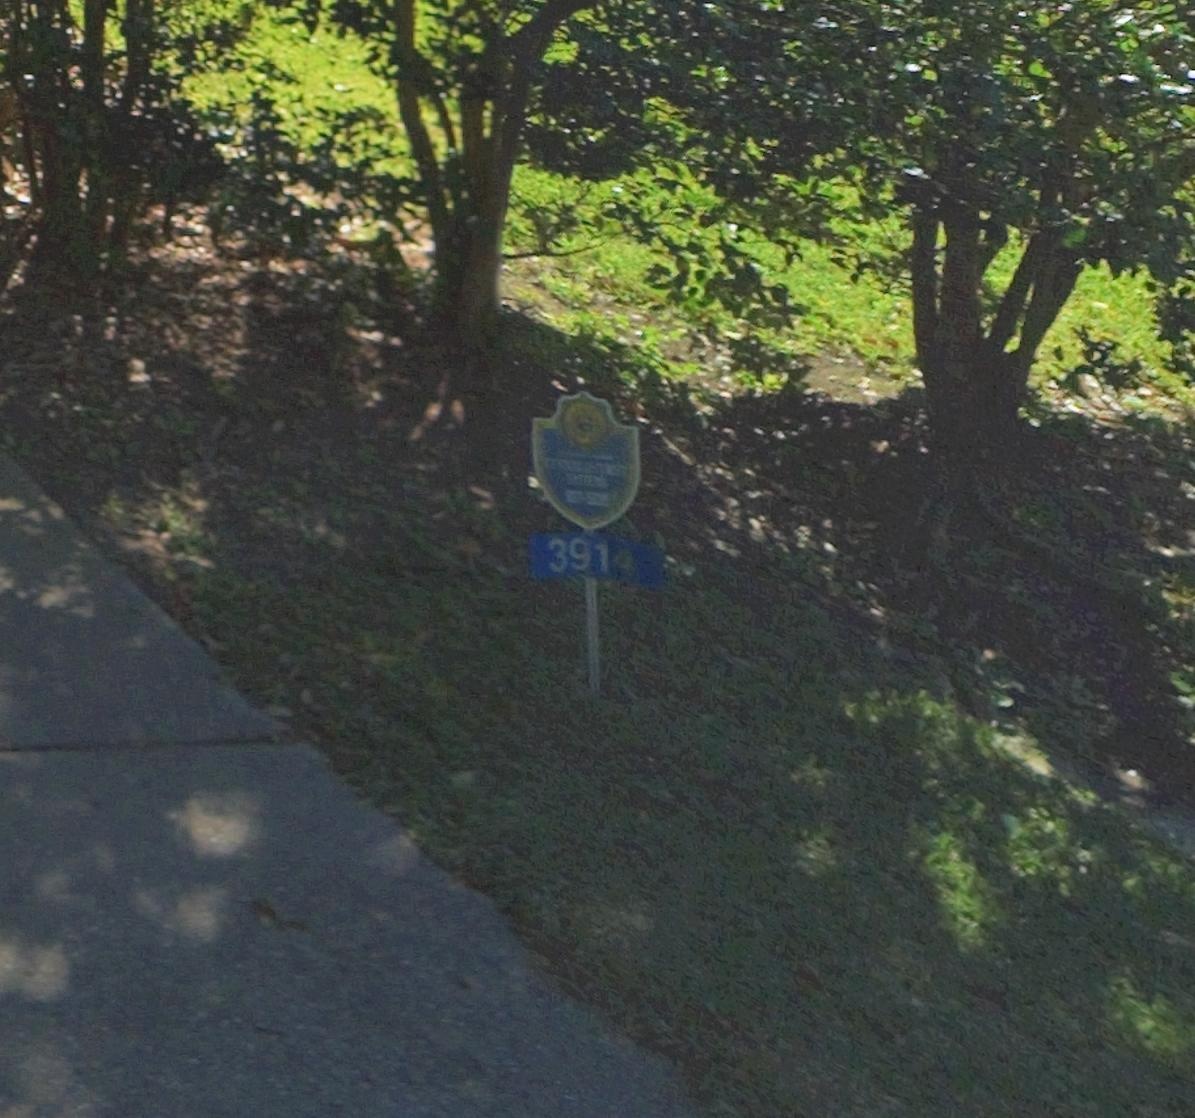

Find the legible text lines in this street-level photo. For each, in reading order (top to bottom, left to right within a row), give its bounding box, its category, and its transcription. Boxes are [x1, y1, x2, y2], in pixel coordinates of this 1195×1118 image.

[545, 532, 640, 583] StreetNumber: 3914